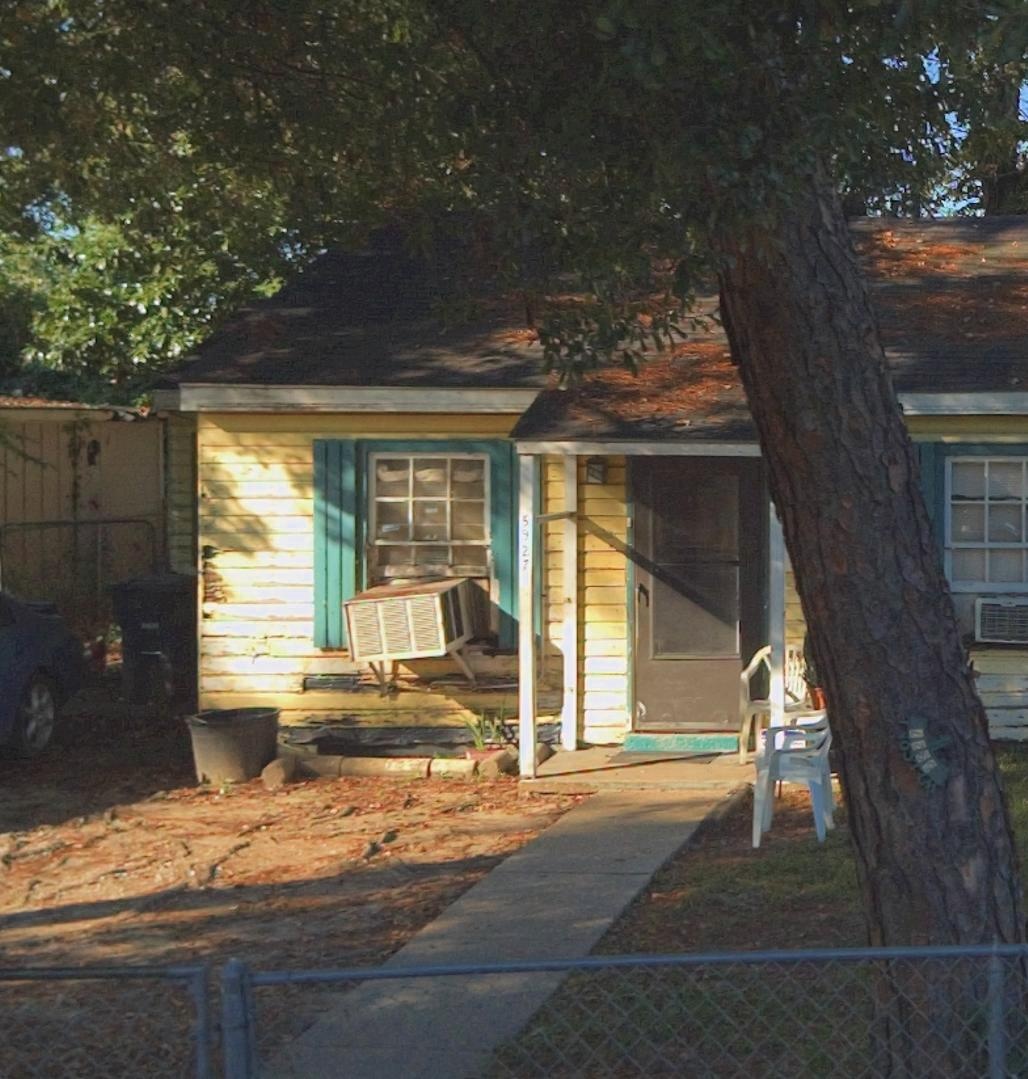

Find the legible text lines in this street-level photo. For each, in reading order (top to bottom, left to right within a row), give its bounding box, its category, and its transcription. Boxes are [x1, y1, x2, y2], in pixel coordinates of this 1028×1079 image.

[520, 513, 530, 571] StreetNumber: 5927